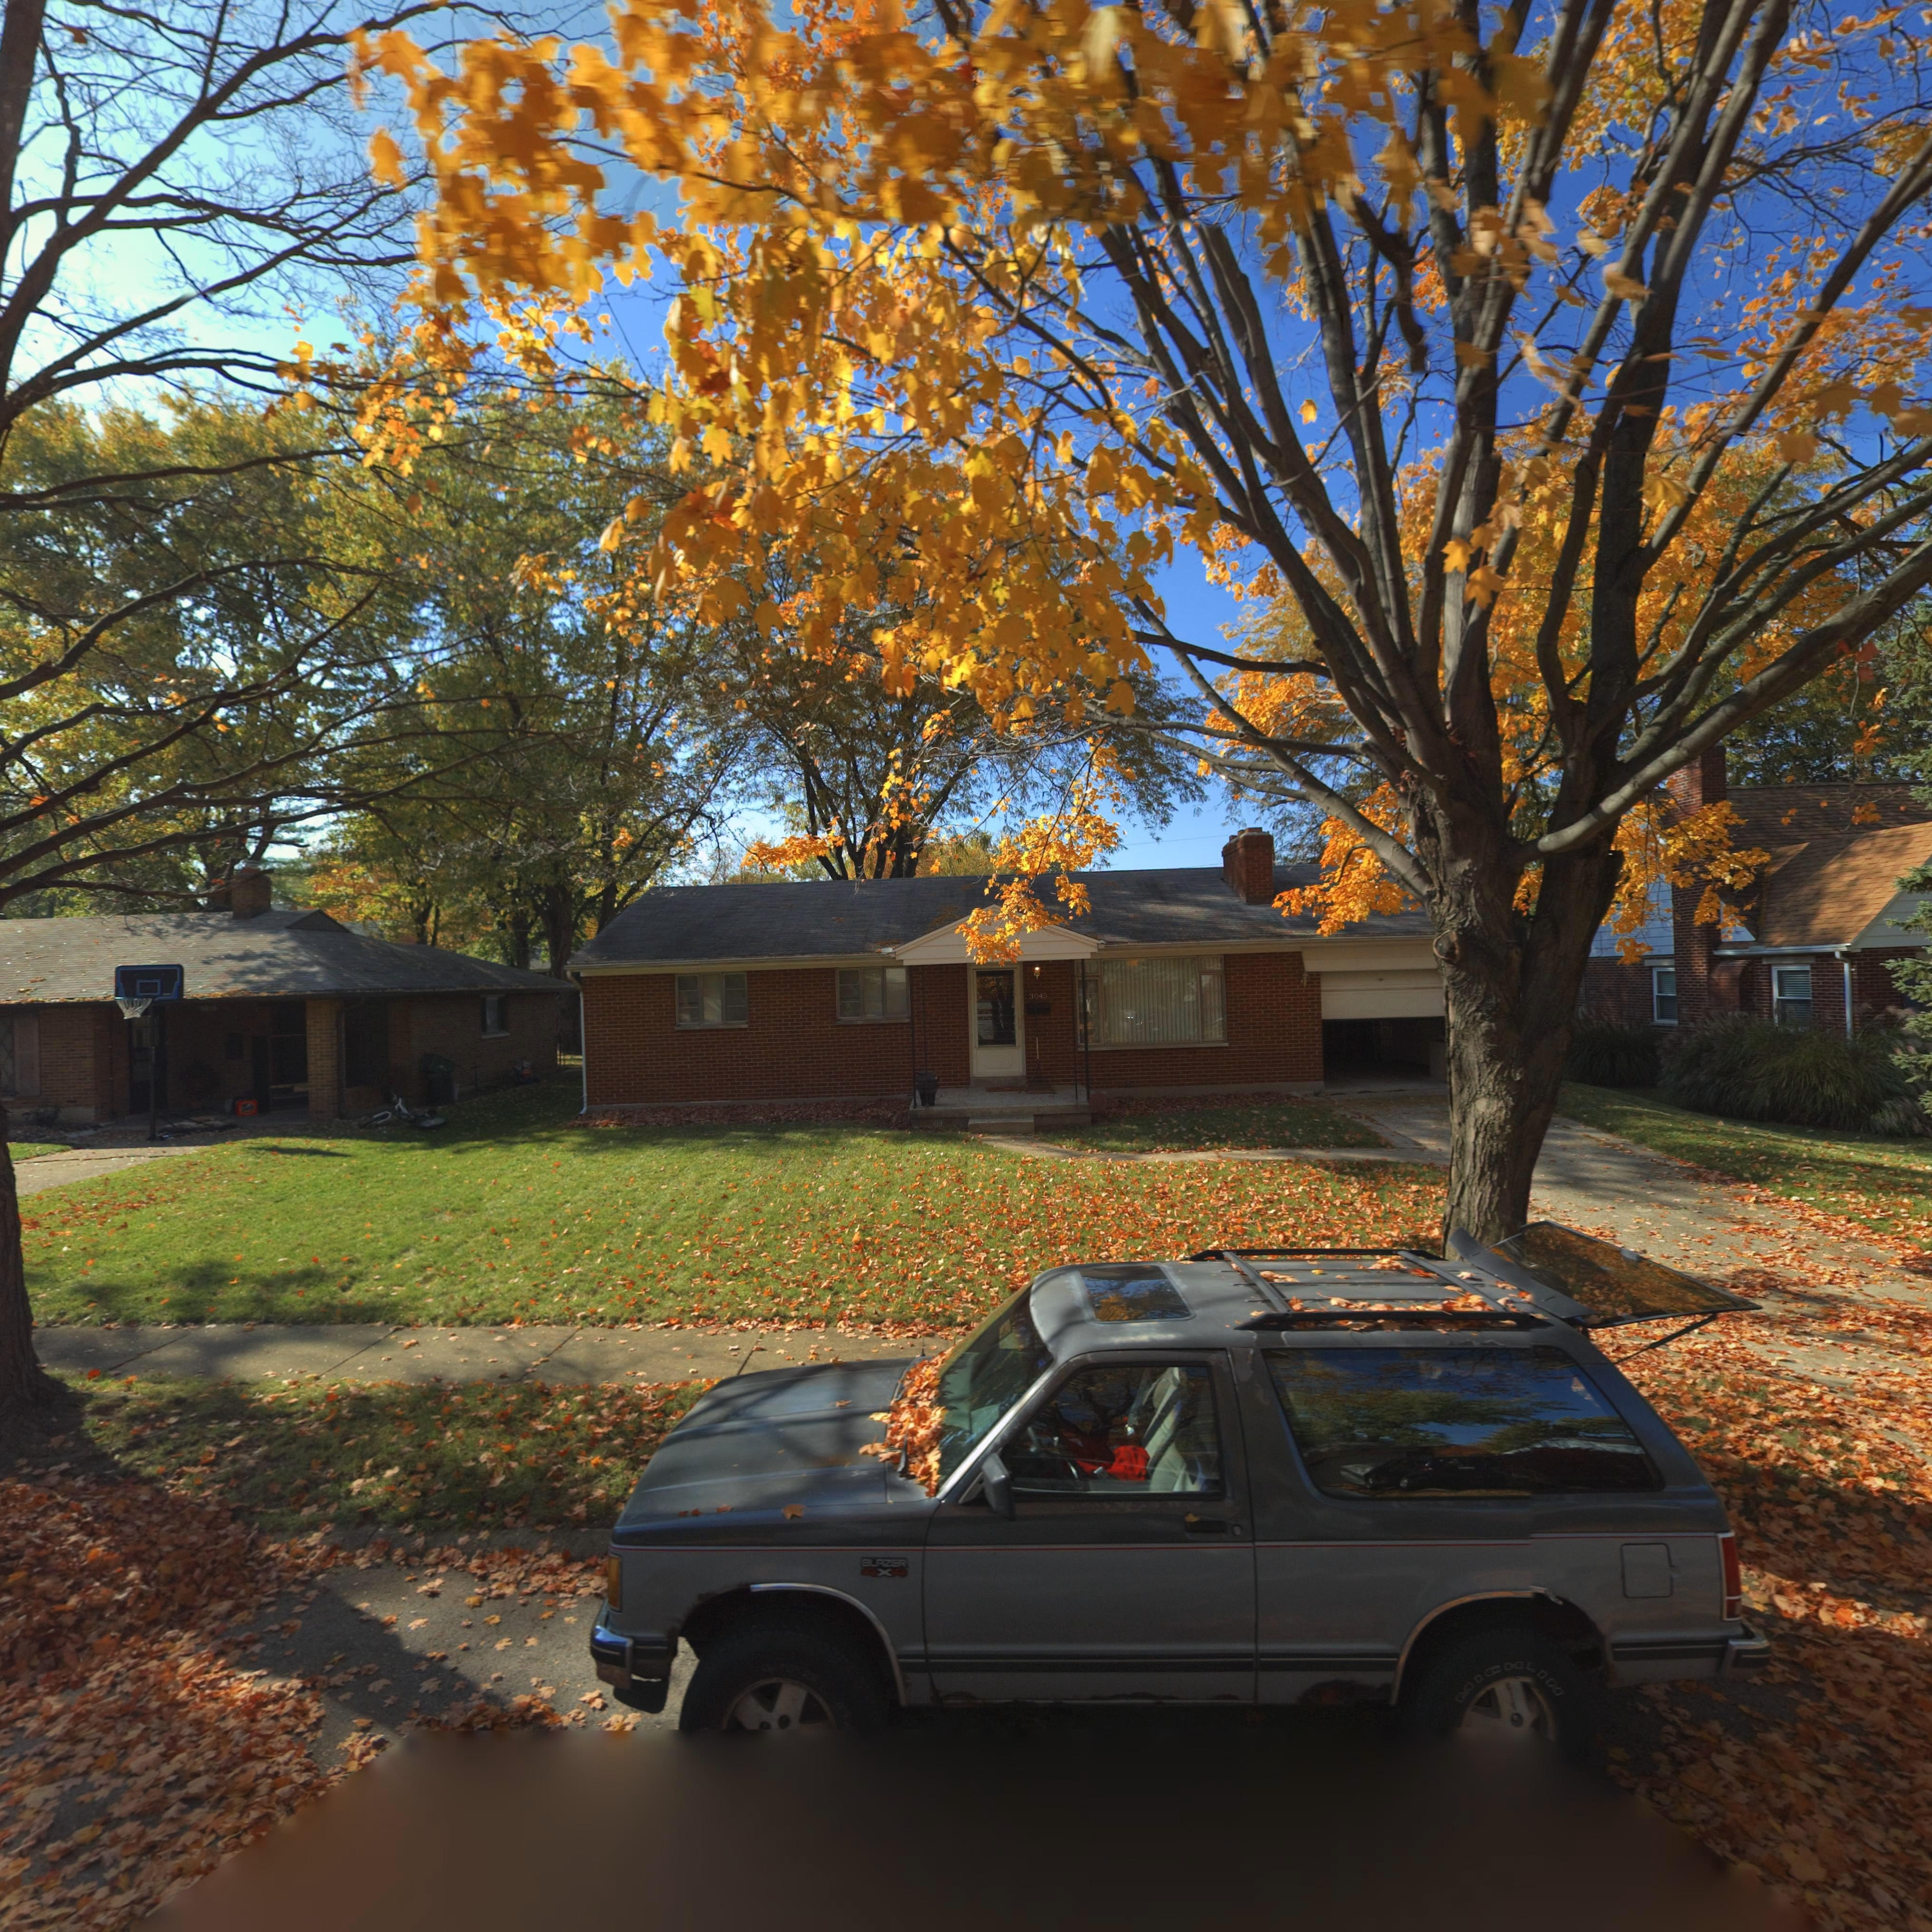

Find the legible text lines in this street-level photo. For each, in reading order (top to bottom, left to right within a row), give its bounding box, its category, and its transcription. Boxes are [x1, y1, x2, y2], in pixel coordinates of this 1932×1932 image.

[1028, 992, 1049, 1000] StreetNumber: 3*45
[861, 1557, 909, 1569] None: BLAZZER
[862, 1565, 908, 1578] None: 4x4